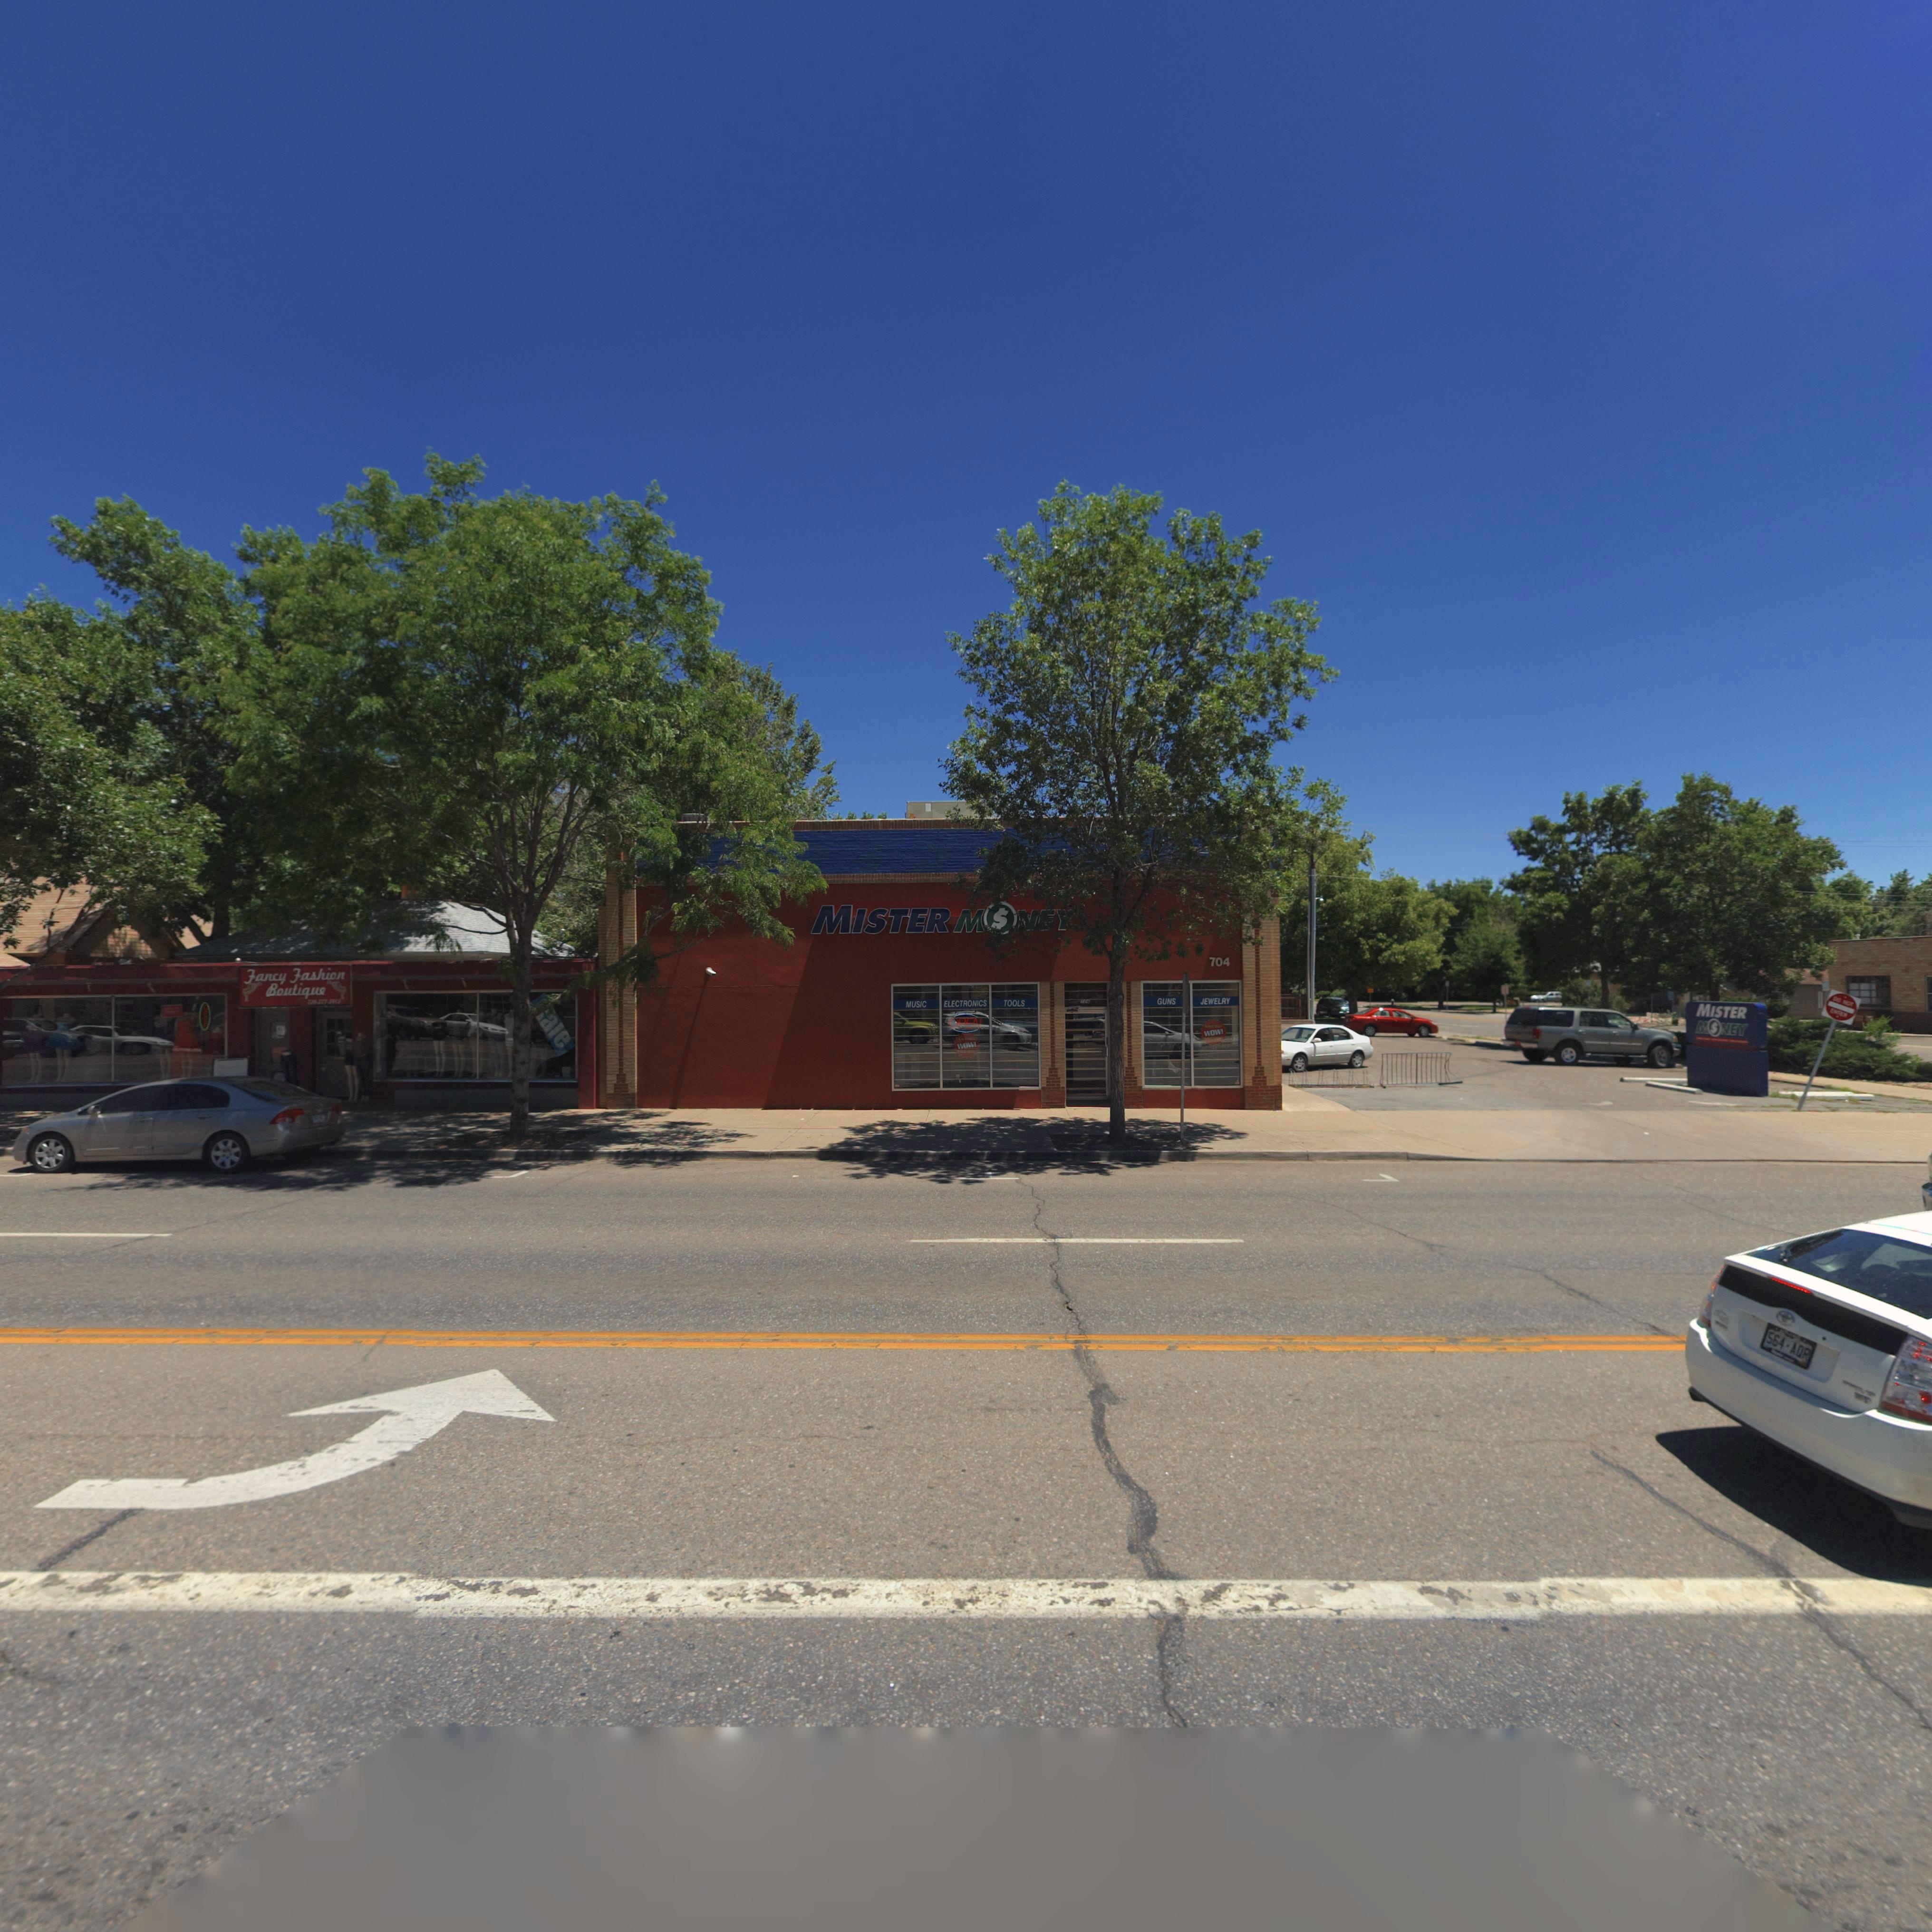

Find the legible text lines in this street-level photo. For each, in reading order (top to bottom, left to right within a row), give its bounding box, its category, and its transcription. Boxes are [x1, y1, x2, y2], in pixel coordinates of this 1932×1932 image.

[810, 899, 1076, 936] BusinessName: MISTER M*NEY
[1209, 956, 1230, 966] StreetNumber: 704
[243, 967, 345, 985] BusinessName: Fancy Fashion
[265, 982, 326, 999] BusinessName: Boutique
[1082, 999, 1089, 1003] StreetNumber: 704
[1696, 1003, 1747, 1019] BusinessName: MISTER
[1695, 1018, 1749, 1036] BusinessName: M*NEY